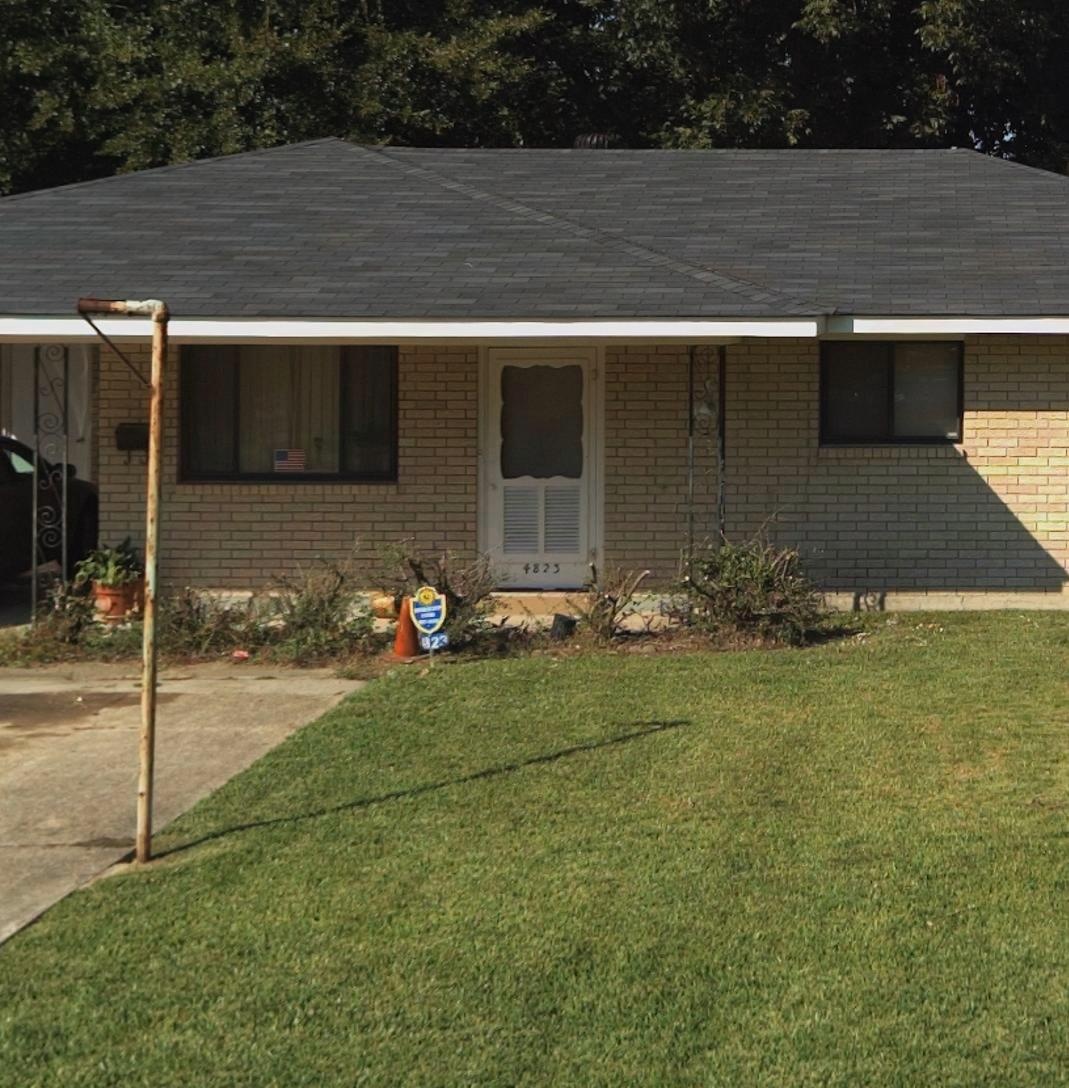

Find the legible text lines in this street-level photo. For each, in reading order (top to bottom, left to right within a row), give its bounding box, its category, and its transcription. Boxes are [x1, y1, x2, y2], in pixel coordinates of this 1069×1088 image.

[522, 562, 561, 575] StreetNumber: 4823
[419, 634, 450, 649] StreetNumber: *2*